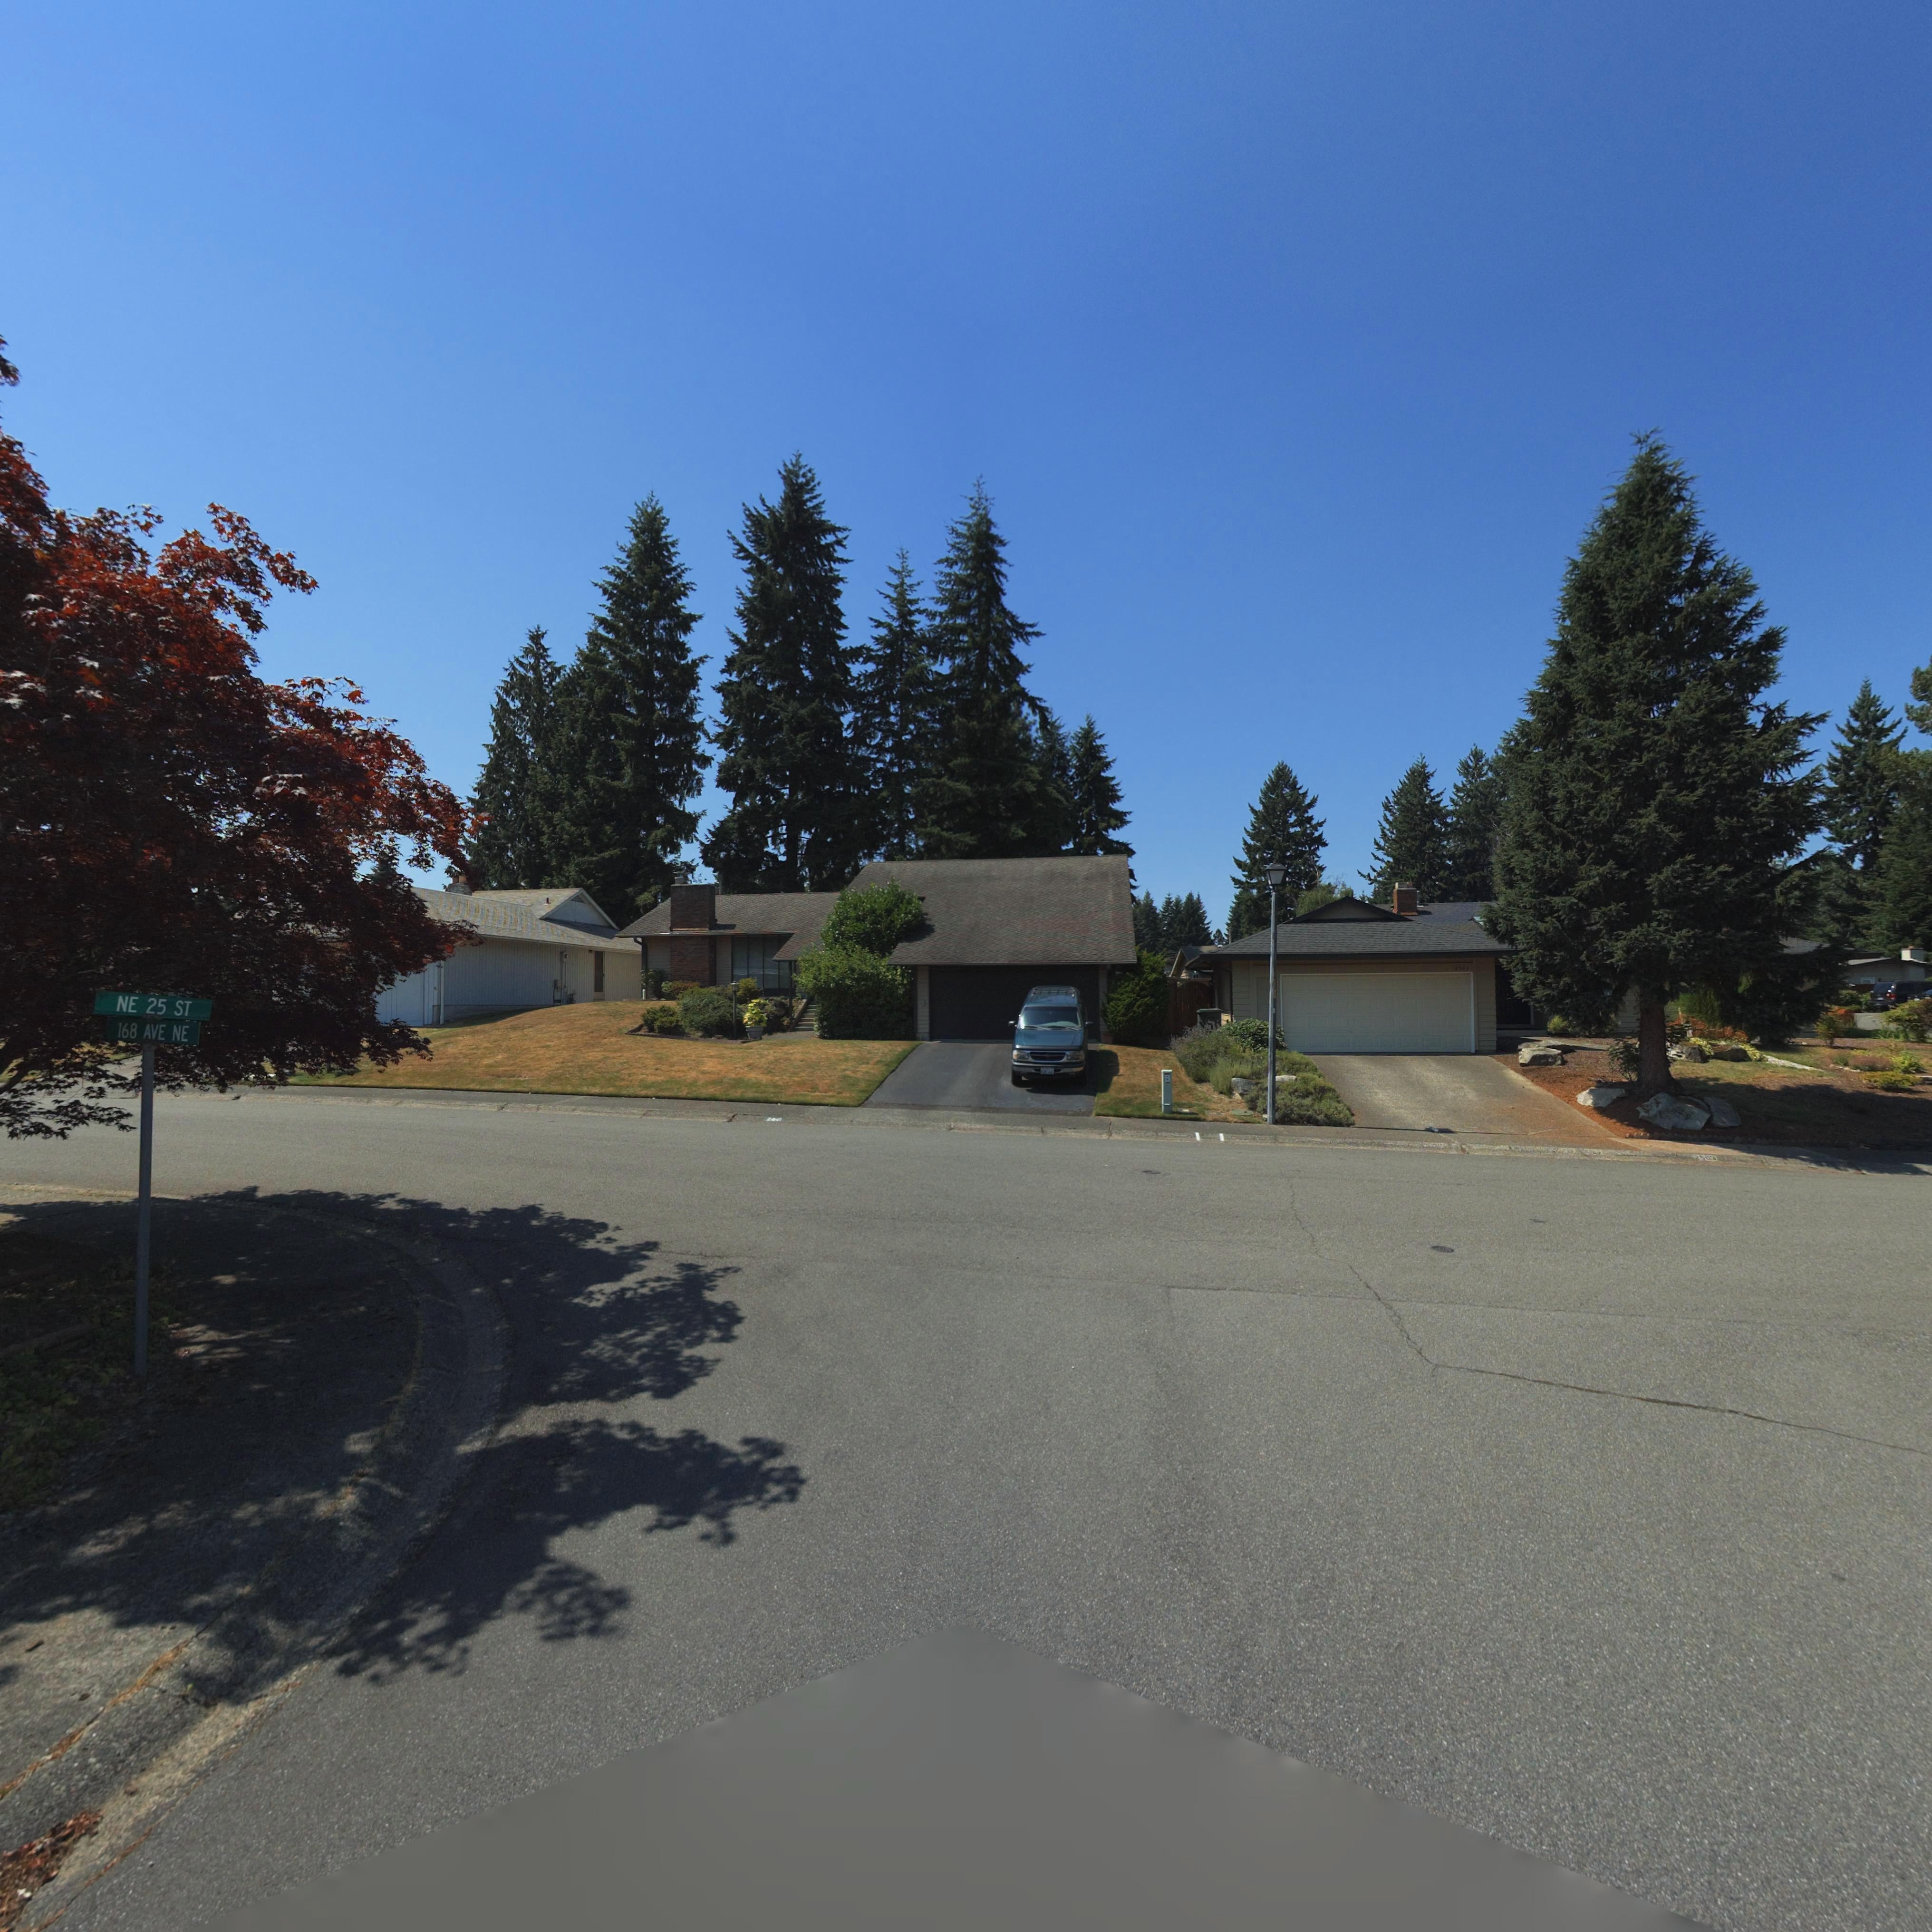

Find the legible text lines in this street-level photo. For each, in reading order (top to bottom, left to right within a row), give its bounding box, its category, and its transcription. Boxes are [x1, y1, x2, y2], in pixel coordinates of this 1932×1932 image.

[116, 995, 192, 1016] StreetName: NE 25 ST
[118, 1023, 189, 1041] StreetName: 168 AVE NE
[766, 1117, 782, 1121] StreetNumber: 244*